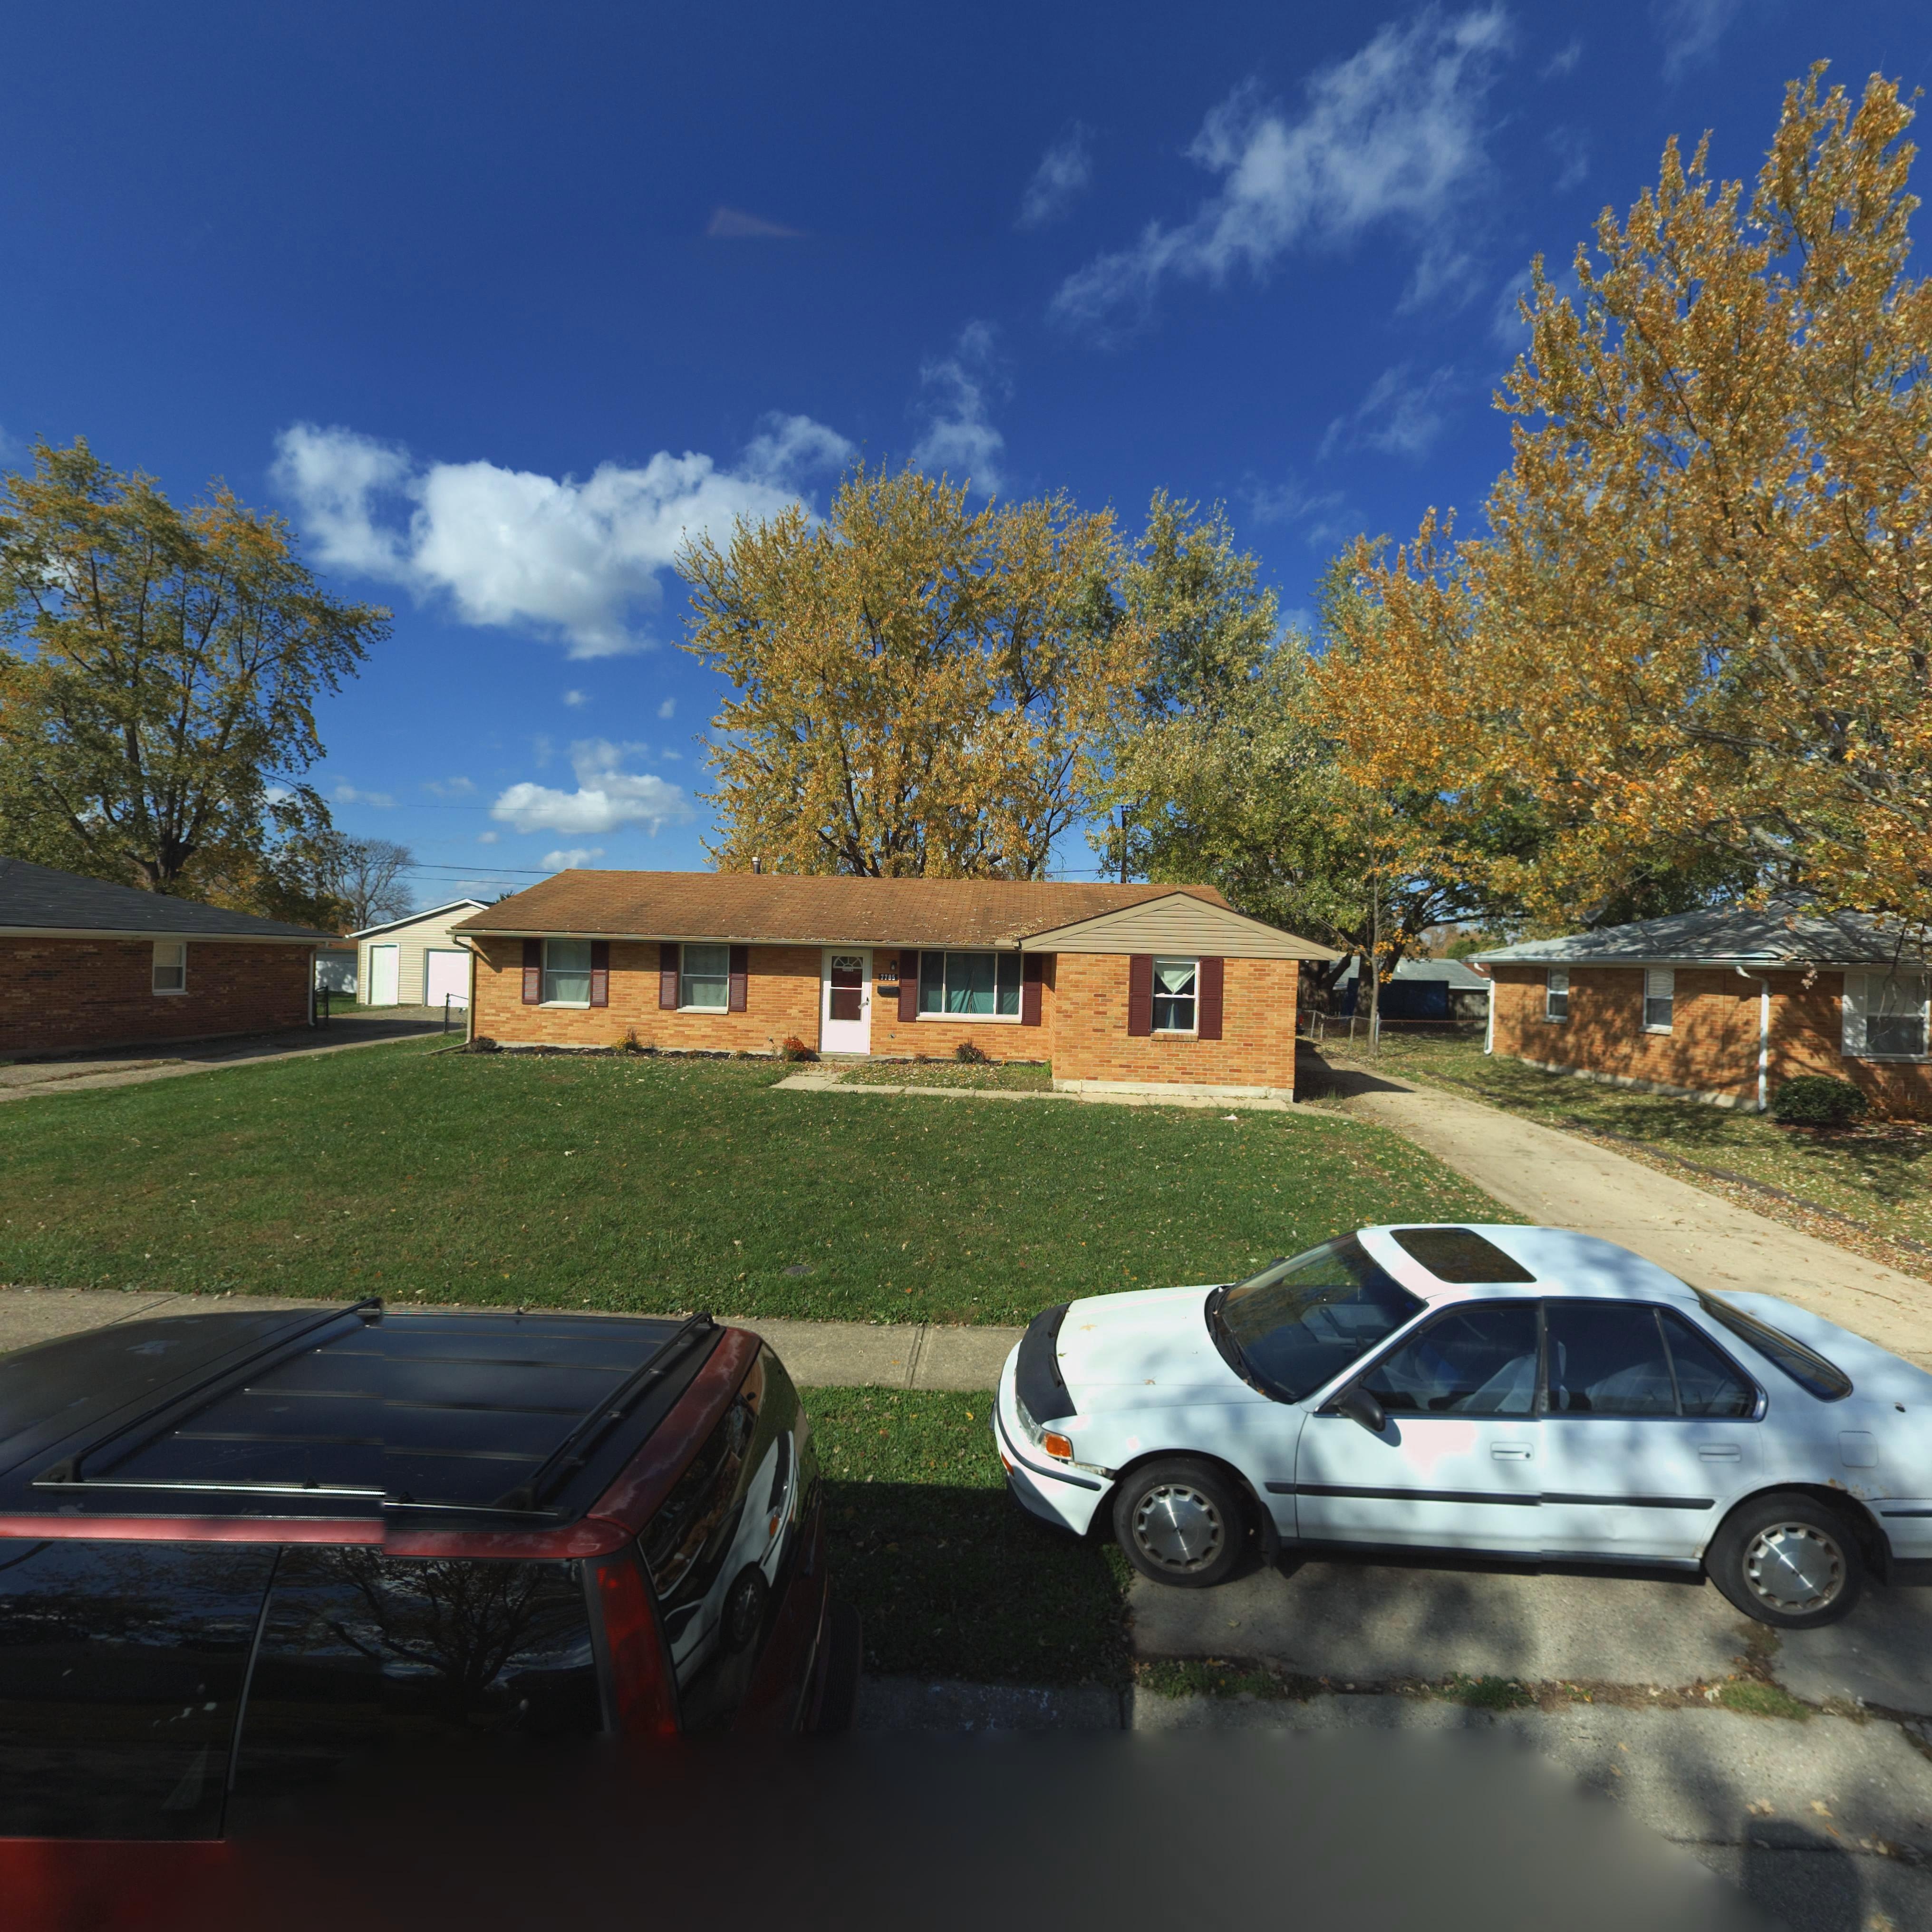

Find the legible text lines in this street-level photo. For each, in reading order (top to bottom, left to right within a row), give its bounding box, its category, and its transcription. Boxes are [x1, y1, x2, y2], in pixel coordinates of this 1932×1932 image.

[880, 974, 896, 981] StreetNumber: 7785